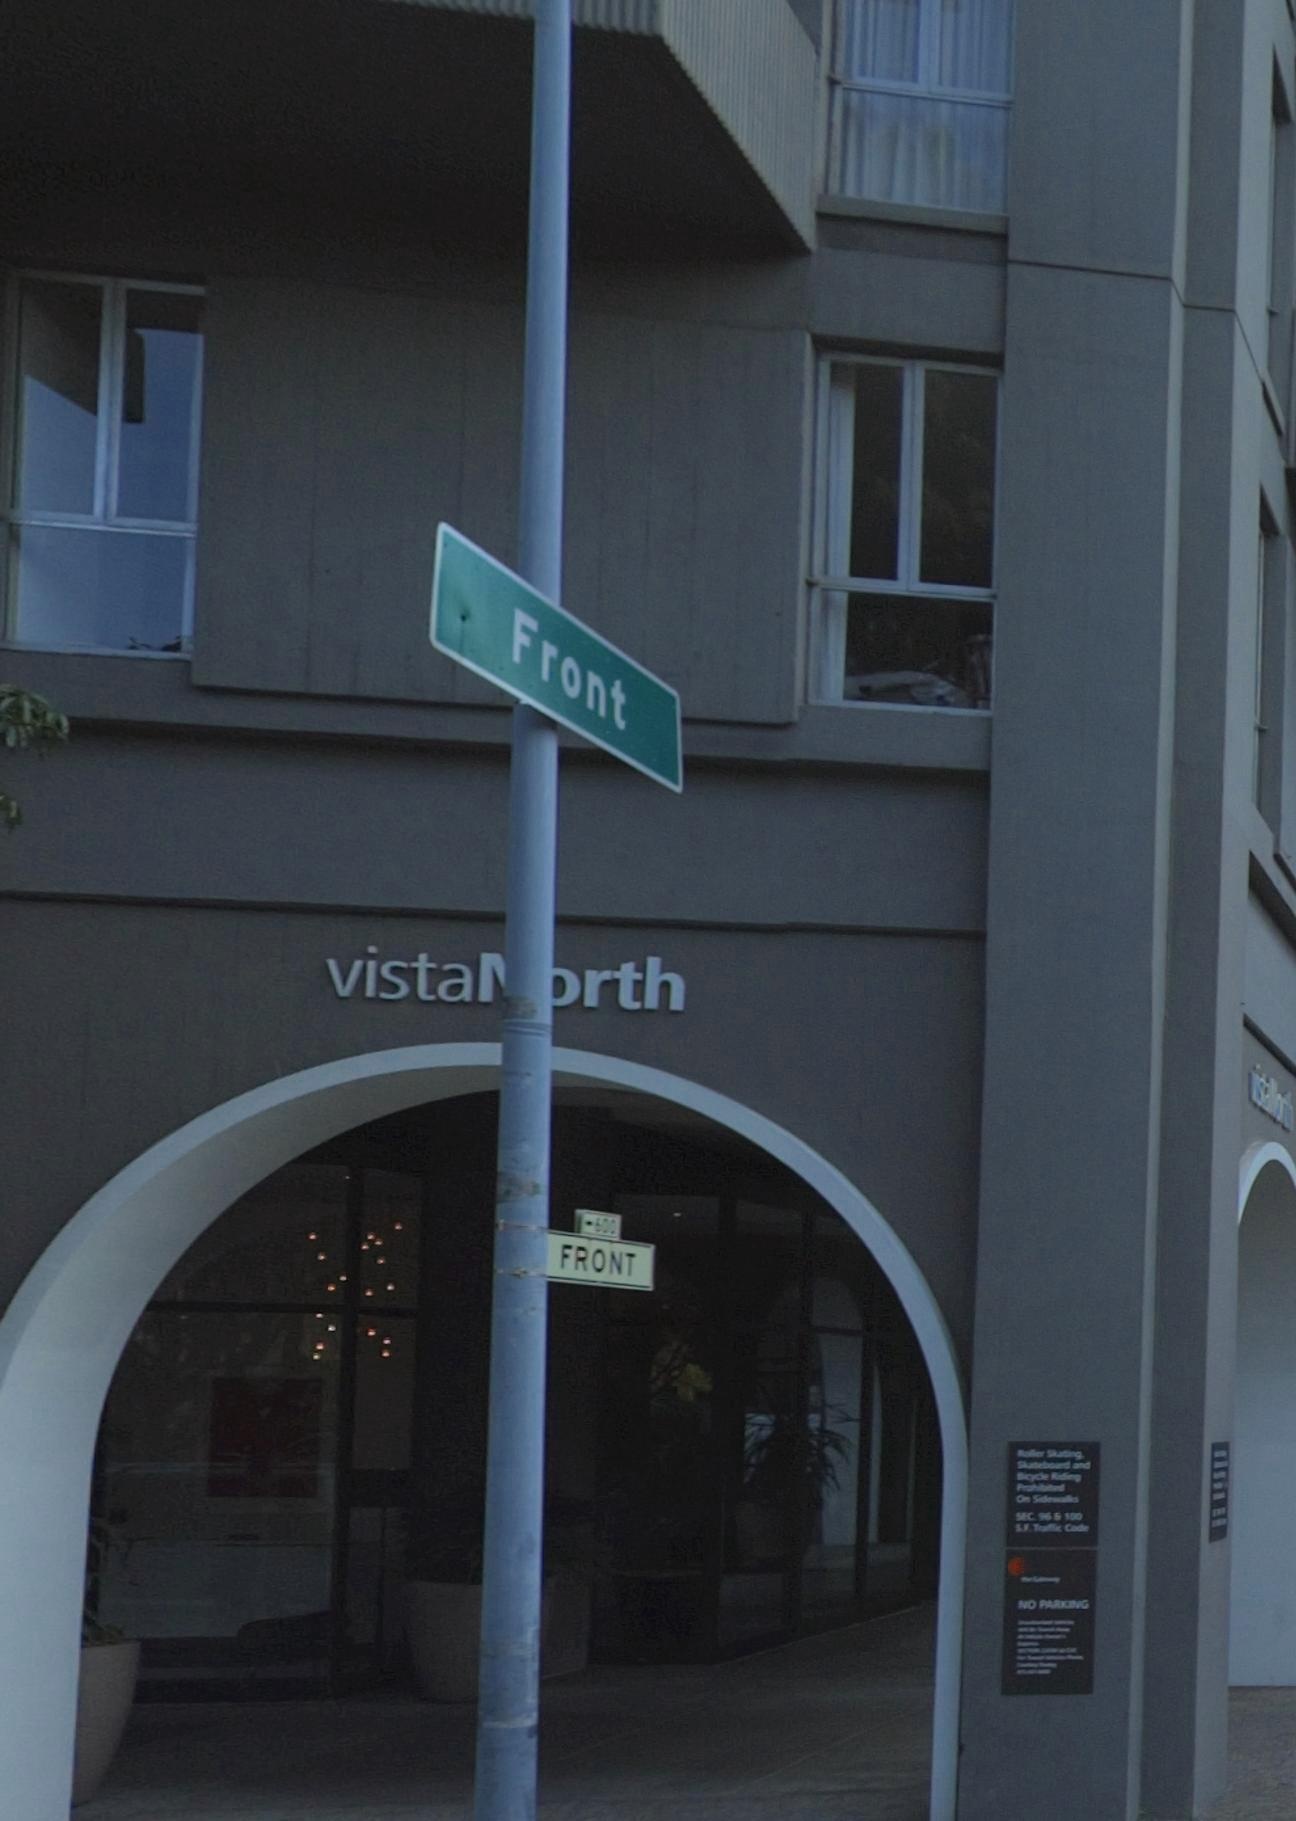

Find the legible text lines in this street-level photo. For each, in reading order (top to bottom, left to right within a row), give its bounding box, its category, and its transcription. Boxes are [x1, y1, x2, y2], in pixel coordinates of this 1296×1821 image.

[507, 598, 632, 743] StreetName: Front
[314, 940, 481, 1010] BusinessName: vista
[578, 951, 691, 1017] BusinessName: rth
[581, 1213, 620, 1239] StreetNumberRange: <-600
[556, 1239, 640, 1280] StreetName: FRONT
[1014, 1595, 1092, 1613] None: NO PARKING